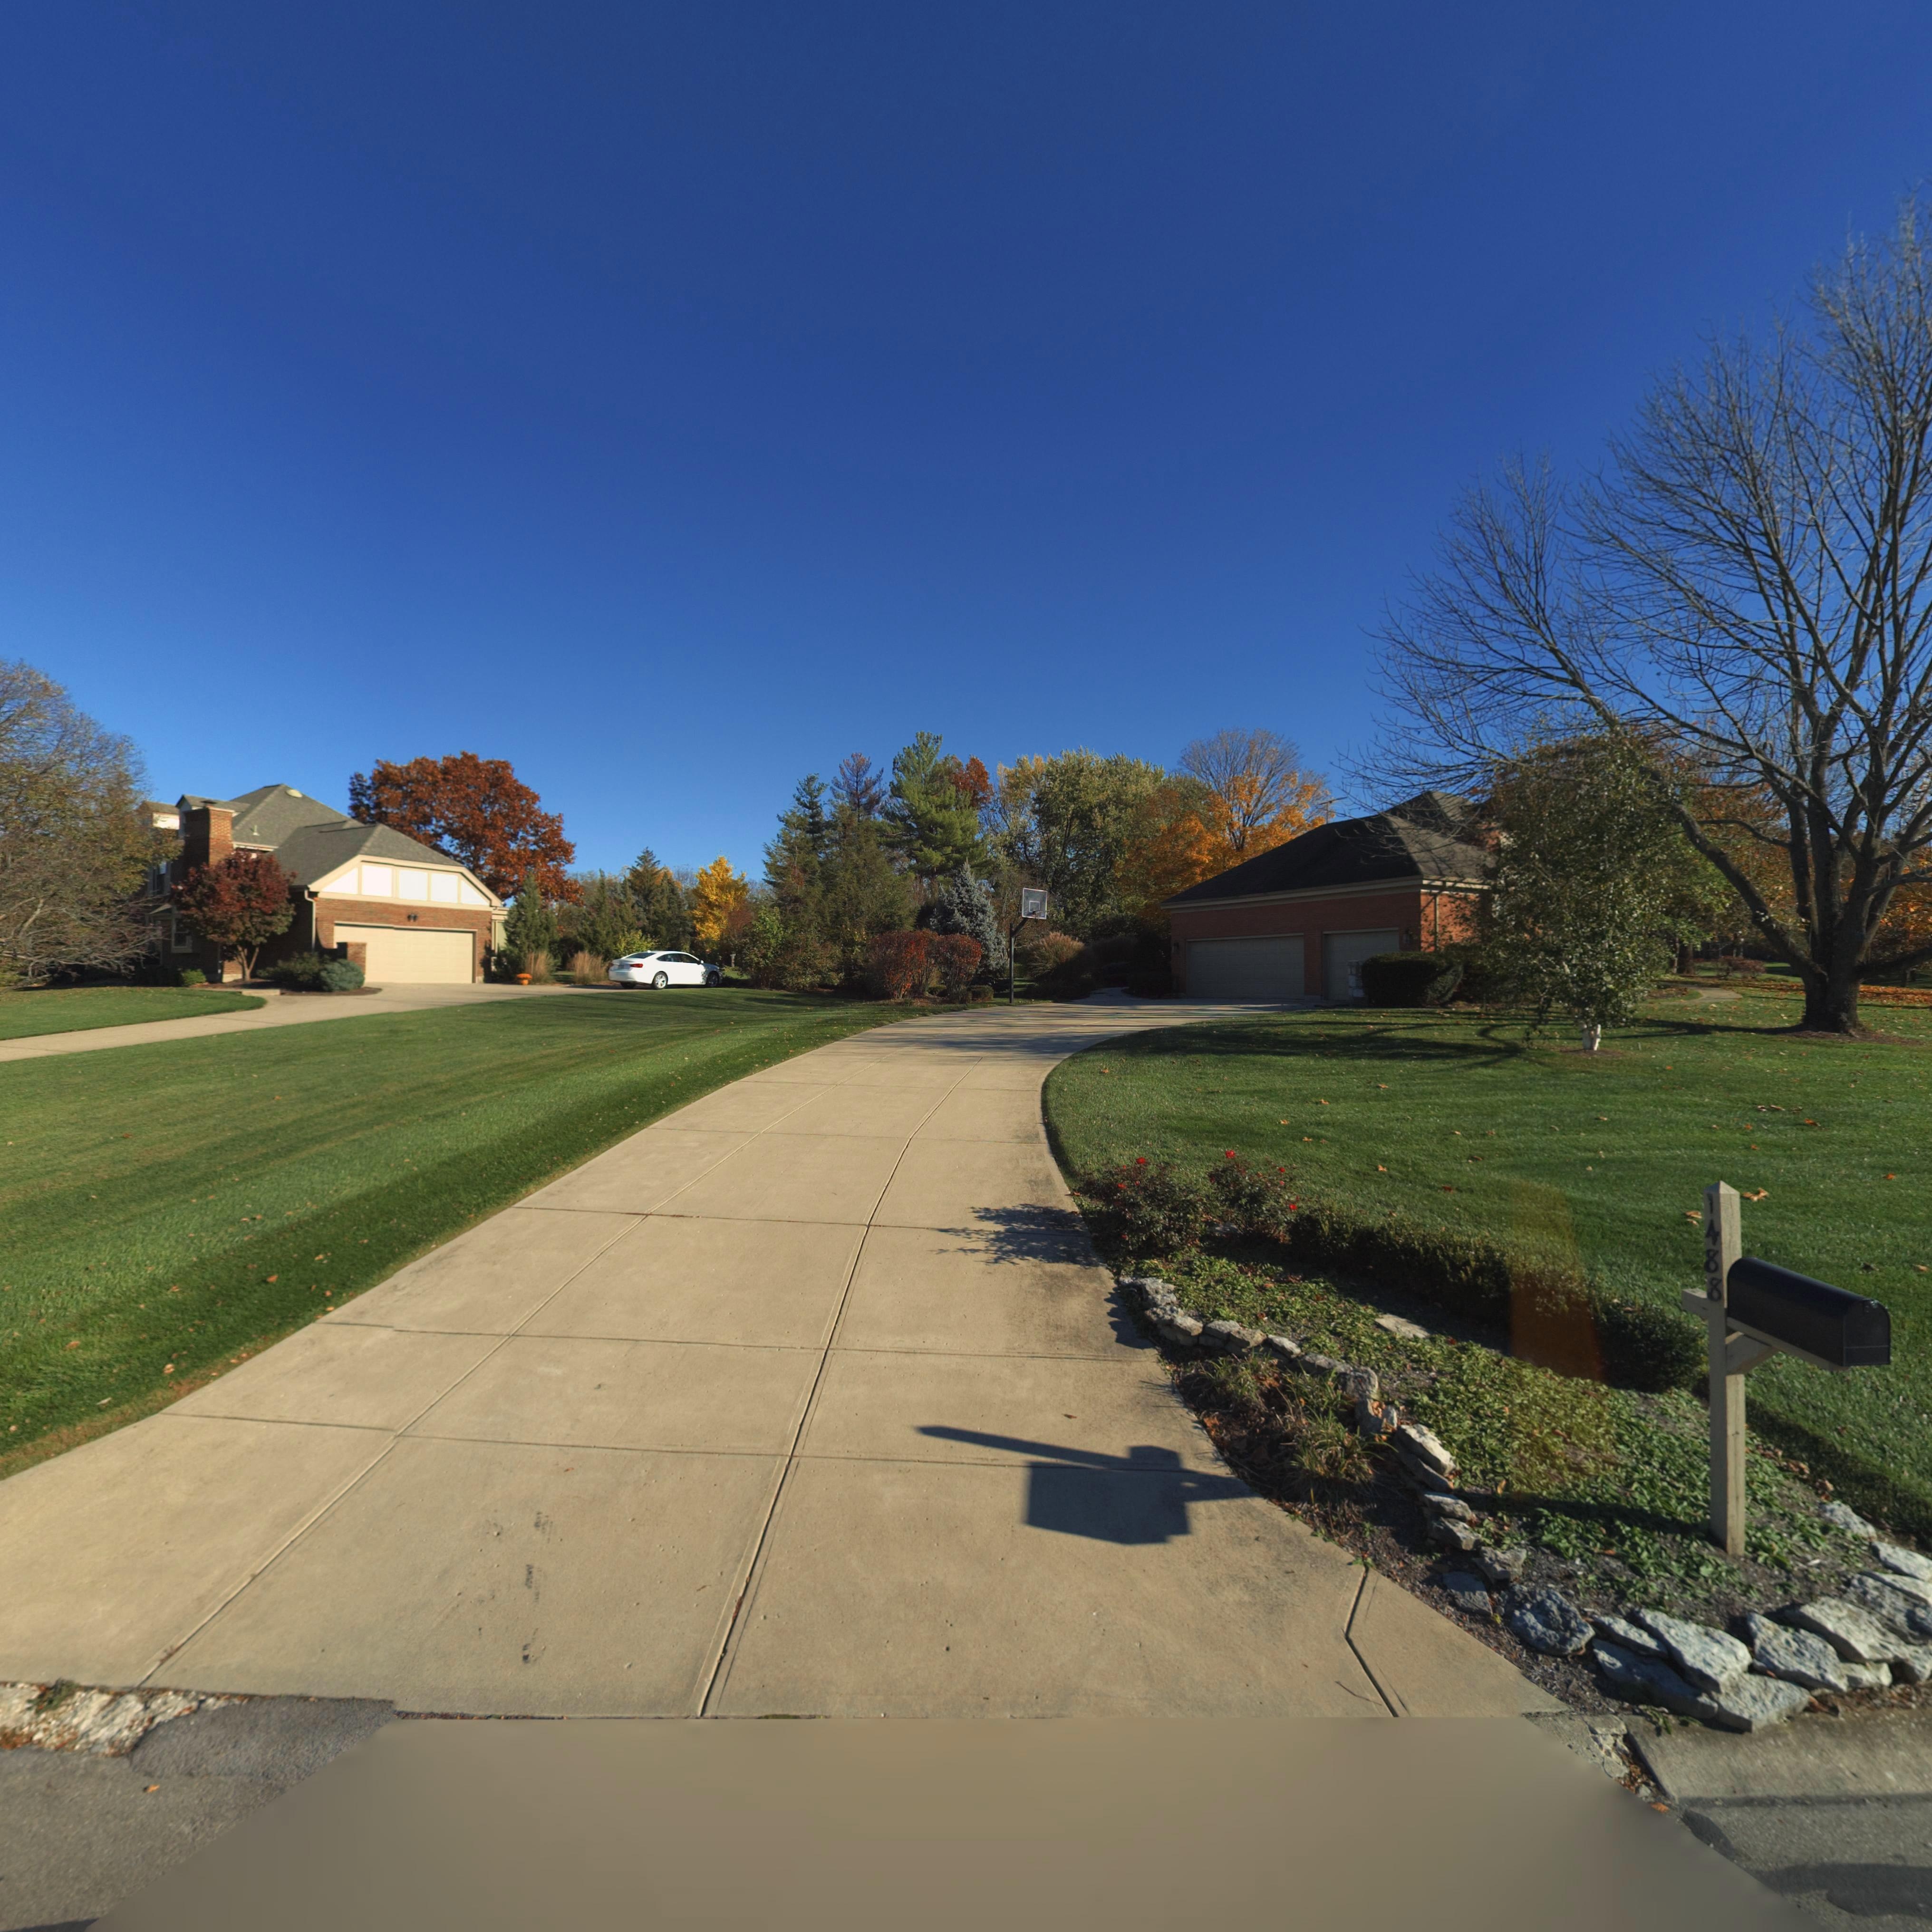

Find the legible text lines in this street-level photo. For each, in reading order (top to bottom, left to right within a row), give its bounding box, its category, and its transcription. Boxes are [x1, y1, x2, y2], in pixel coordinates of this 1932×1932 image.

[1703, 1191, 1724, 1306] StreetNumber: 1488